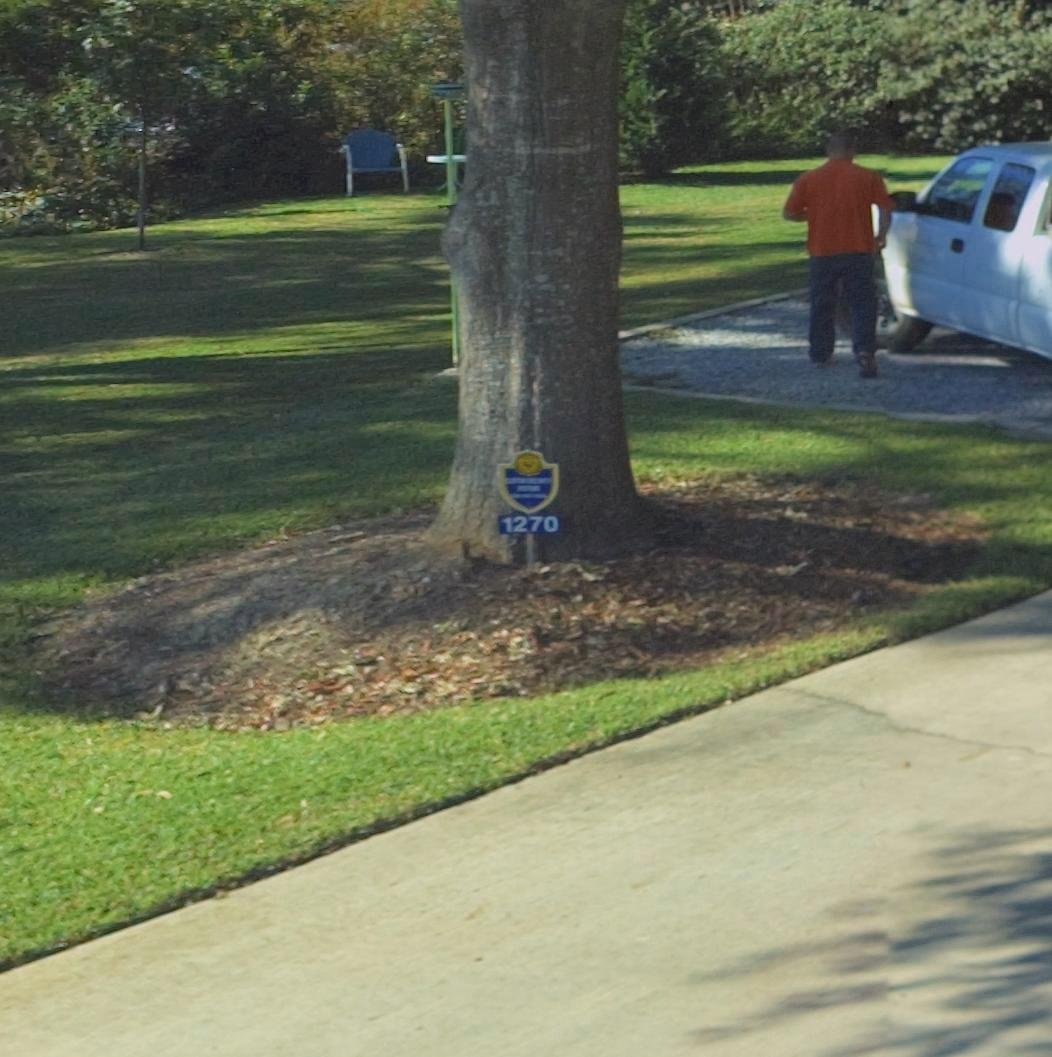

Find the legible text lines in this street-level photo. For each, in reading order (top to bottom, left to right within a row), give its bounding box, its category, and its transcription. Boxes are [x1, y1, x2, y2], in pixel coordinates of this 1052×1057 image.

[498, 513, 561, 536] StreetNumber: 1270